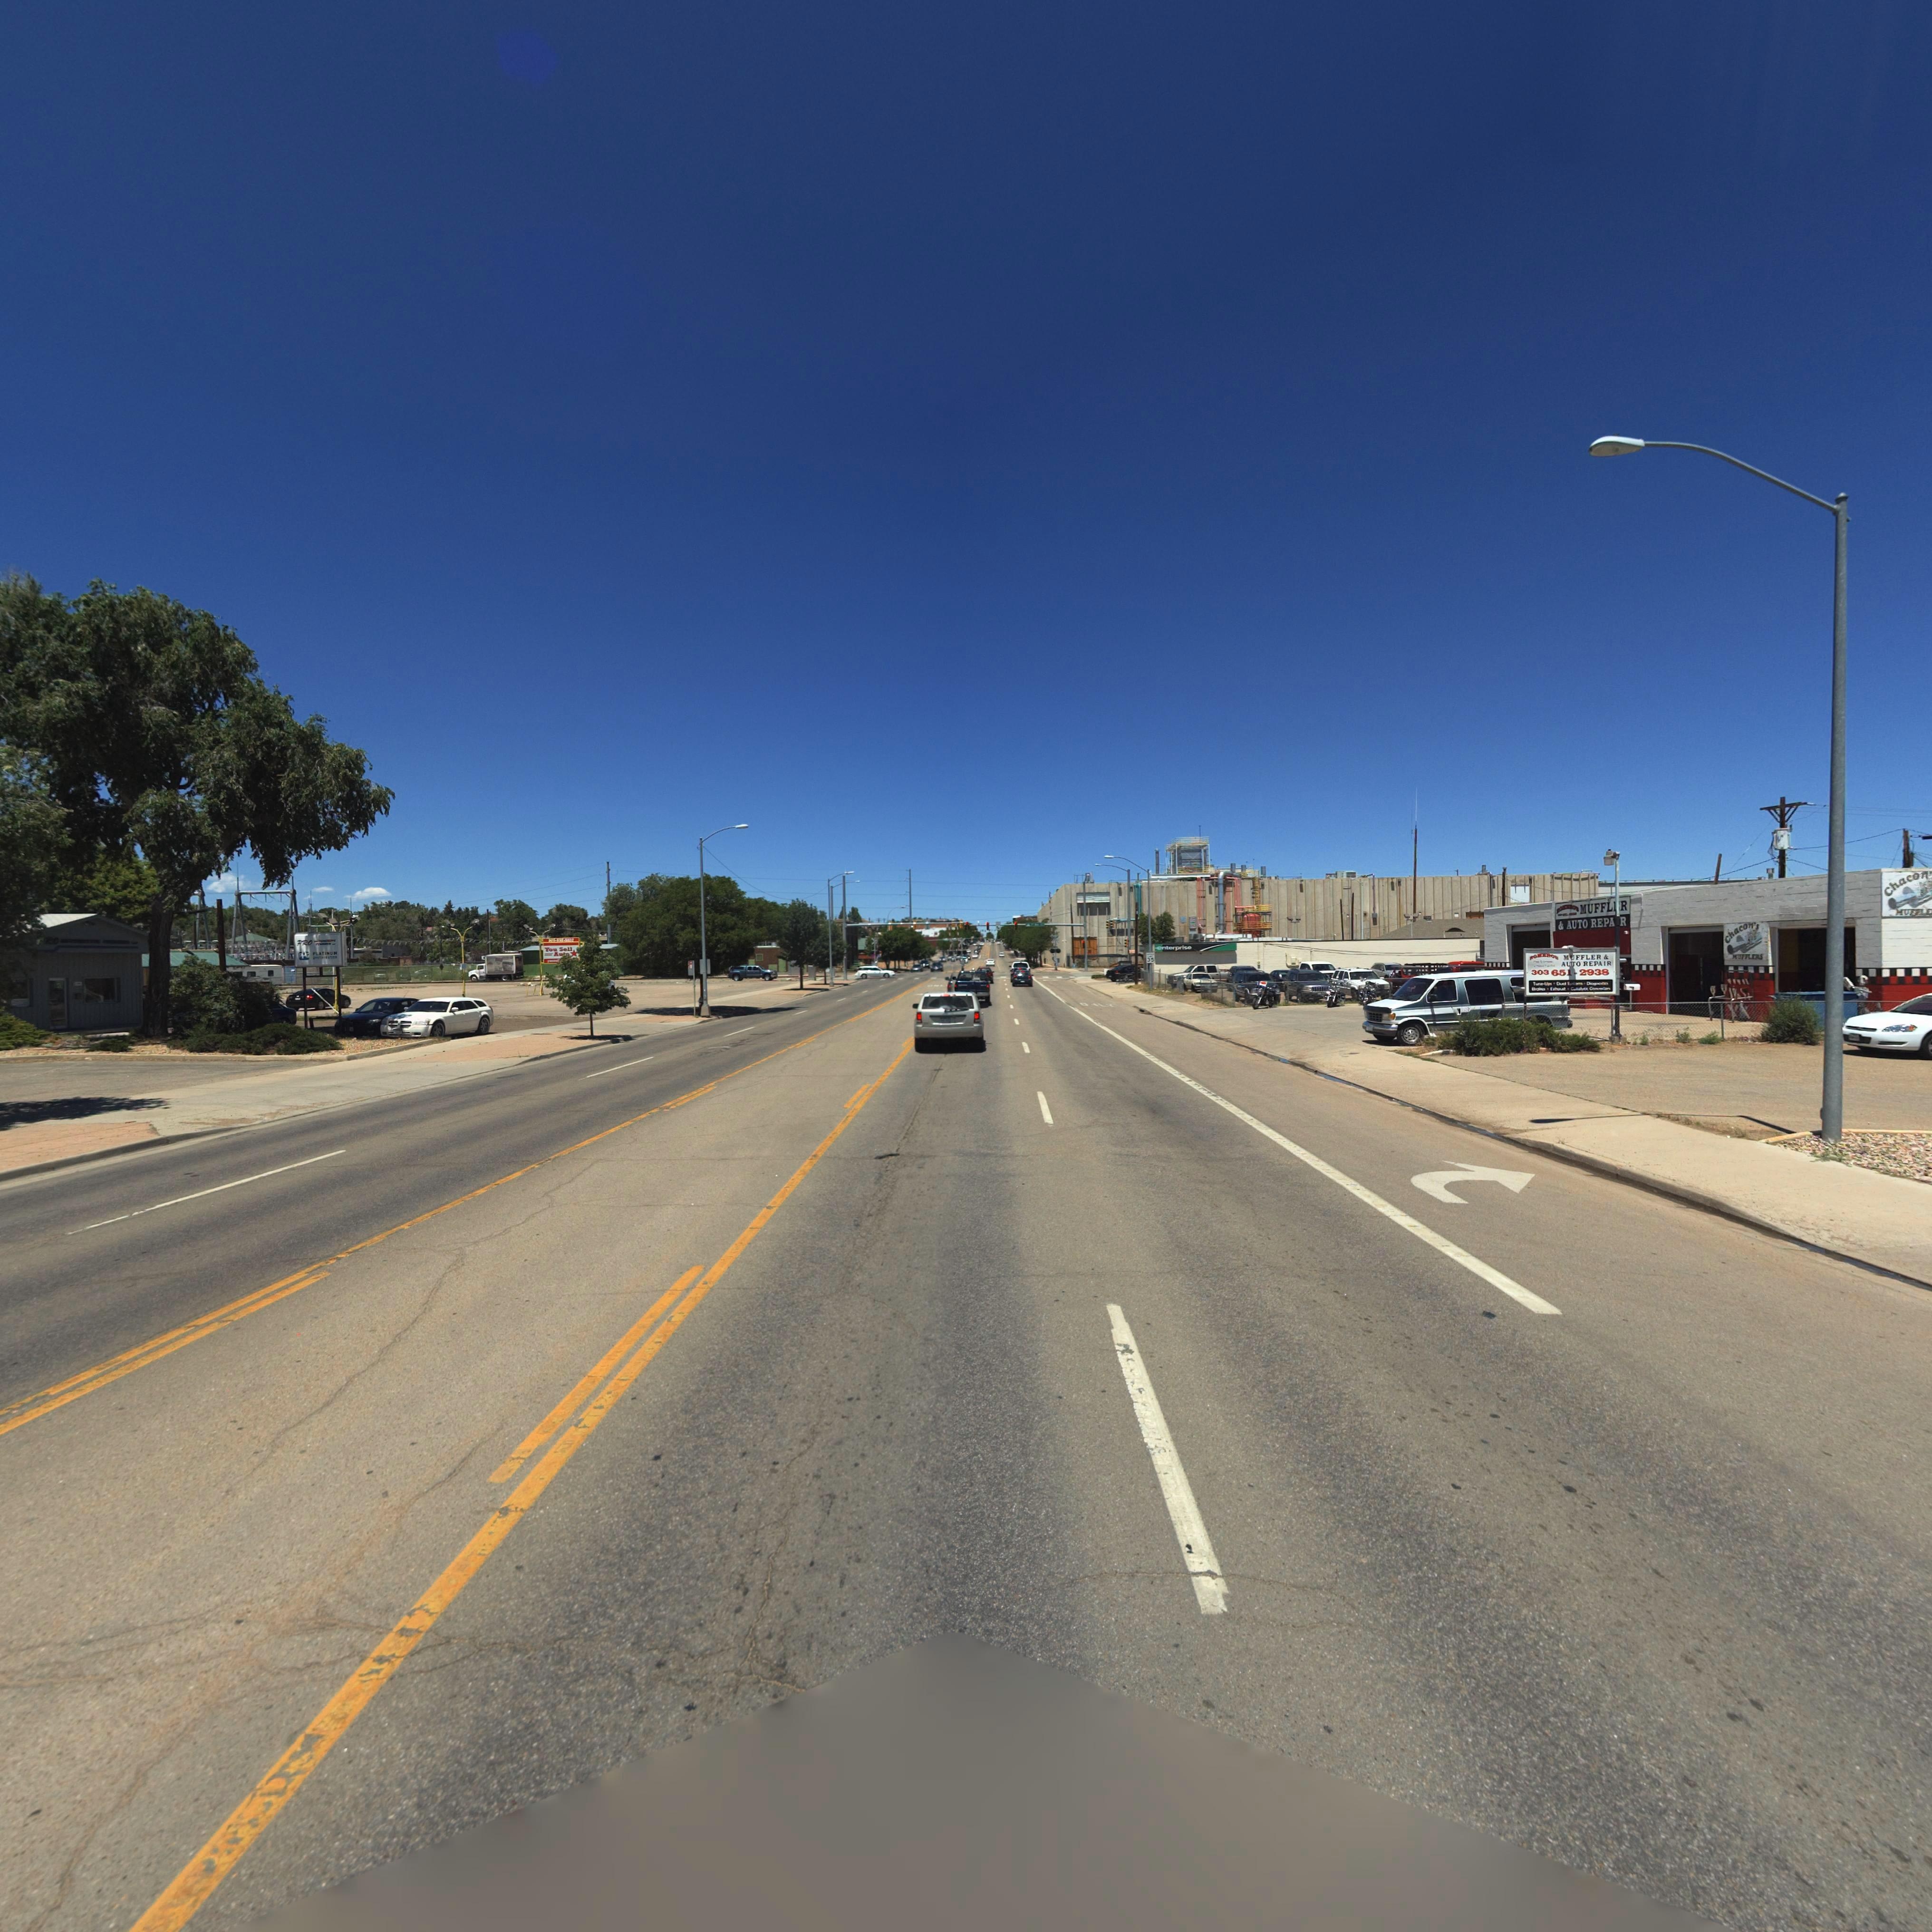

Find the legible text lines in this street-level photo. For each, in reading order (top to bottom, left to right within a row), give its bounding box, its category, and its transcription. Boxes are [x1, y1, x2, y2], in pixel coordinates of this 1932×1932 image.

[1883, 871, 1929, 897] BusinessName: Chacon
[1556, 904, 1579, 914] BusinessName: *O*****
[1579, 899, 1628, 914] BusinessName: MUFFL*R
[1895, 908, 1927, 916] BusinessName: MUFFL
[1557, 916, 1627, 930] BusinessName: & AUTO REPA*R
[1725, 921, 1759, 944] BusinessName: Chacon's
[43, 936, 60, 945] BusinessName: RO
[296, 939, 313, 946] BusinessName: PRO
[1156, 945, 1192, 951] BusinessName: enterprise
[1529, 952, 1559, 961] BusinessName: RO***O*
[1562, 953, 1610, 960] BusinessName: MUFFLER &
[1731, 953, 1763, 960] BusinessName: MUFFLERS
[1560, 960, 1613, 966] BusinessName: AUTO REPAIR